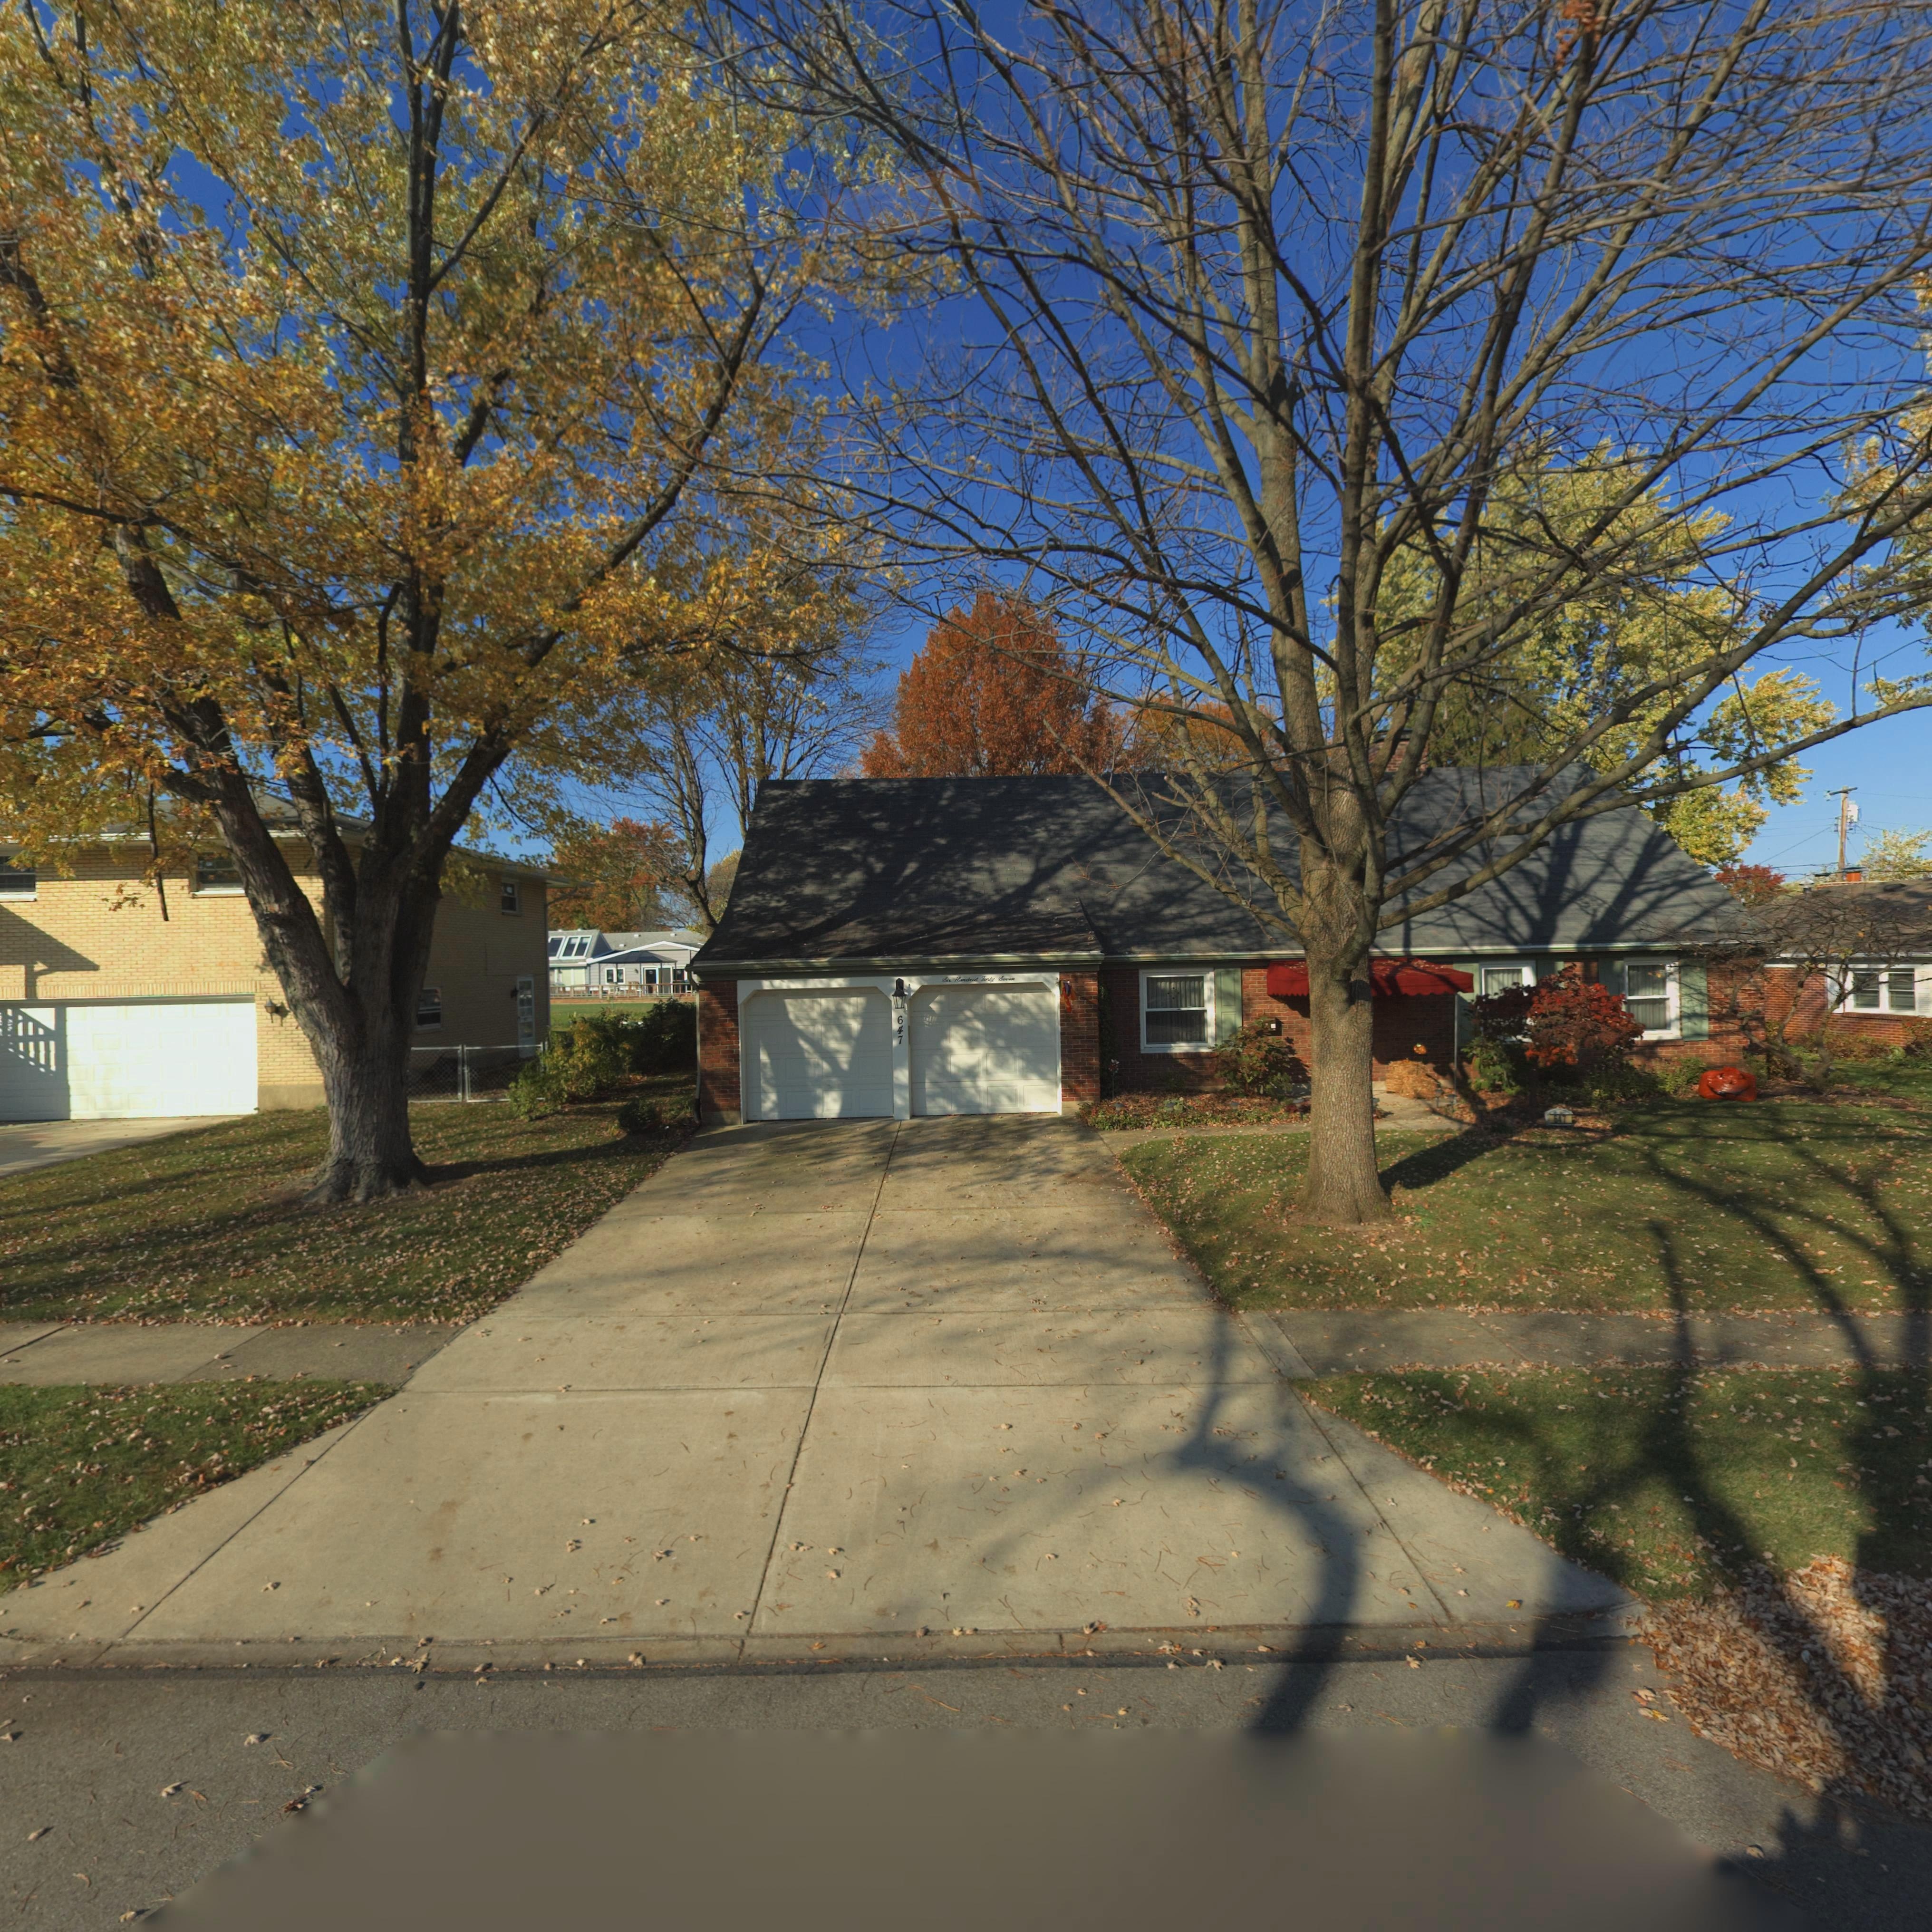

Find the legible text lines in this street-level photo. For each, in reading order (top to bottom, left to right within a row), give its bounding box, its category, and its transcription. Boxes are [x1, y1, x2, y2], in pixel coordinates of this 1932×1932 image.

[941, 975, 1015, 983] StreetNumber: Six Hundred Forty Seven
[897, 1015, 904, 1044] StreetNumber: 647
[1553, 1115, 1567, 1124] StreetNumber: 647